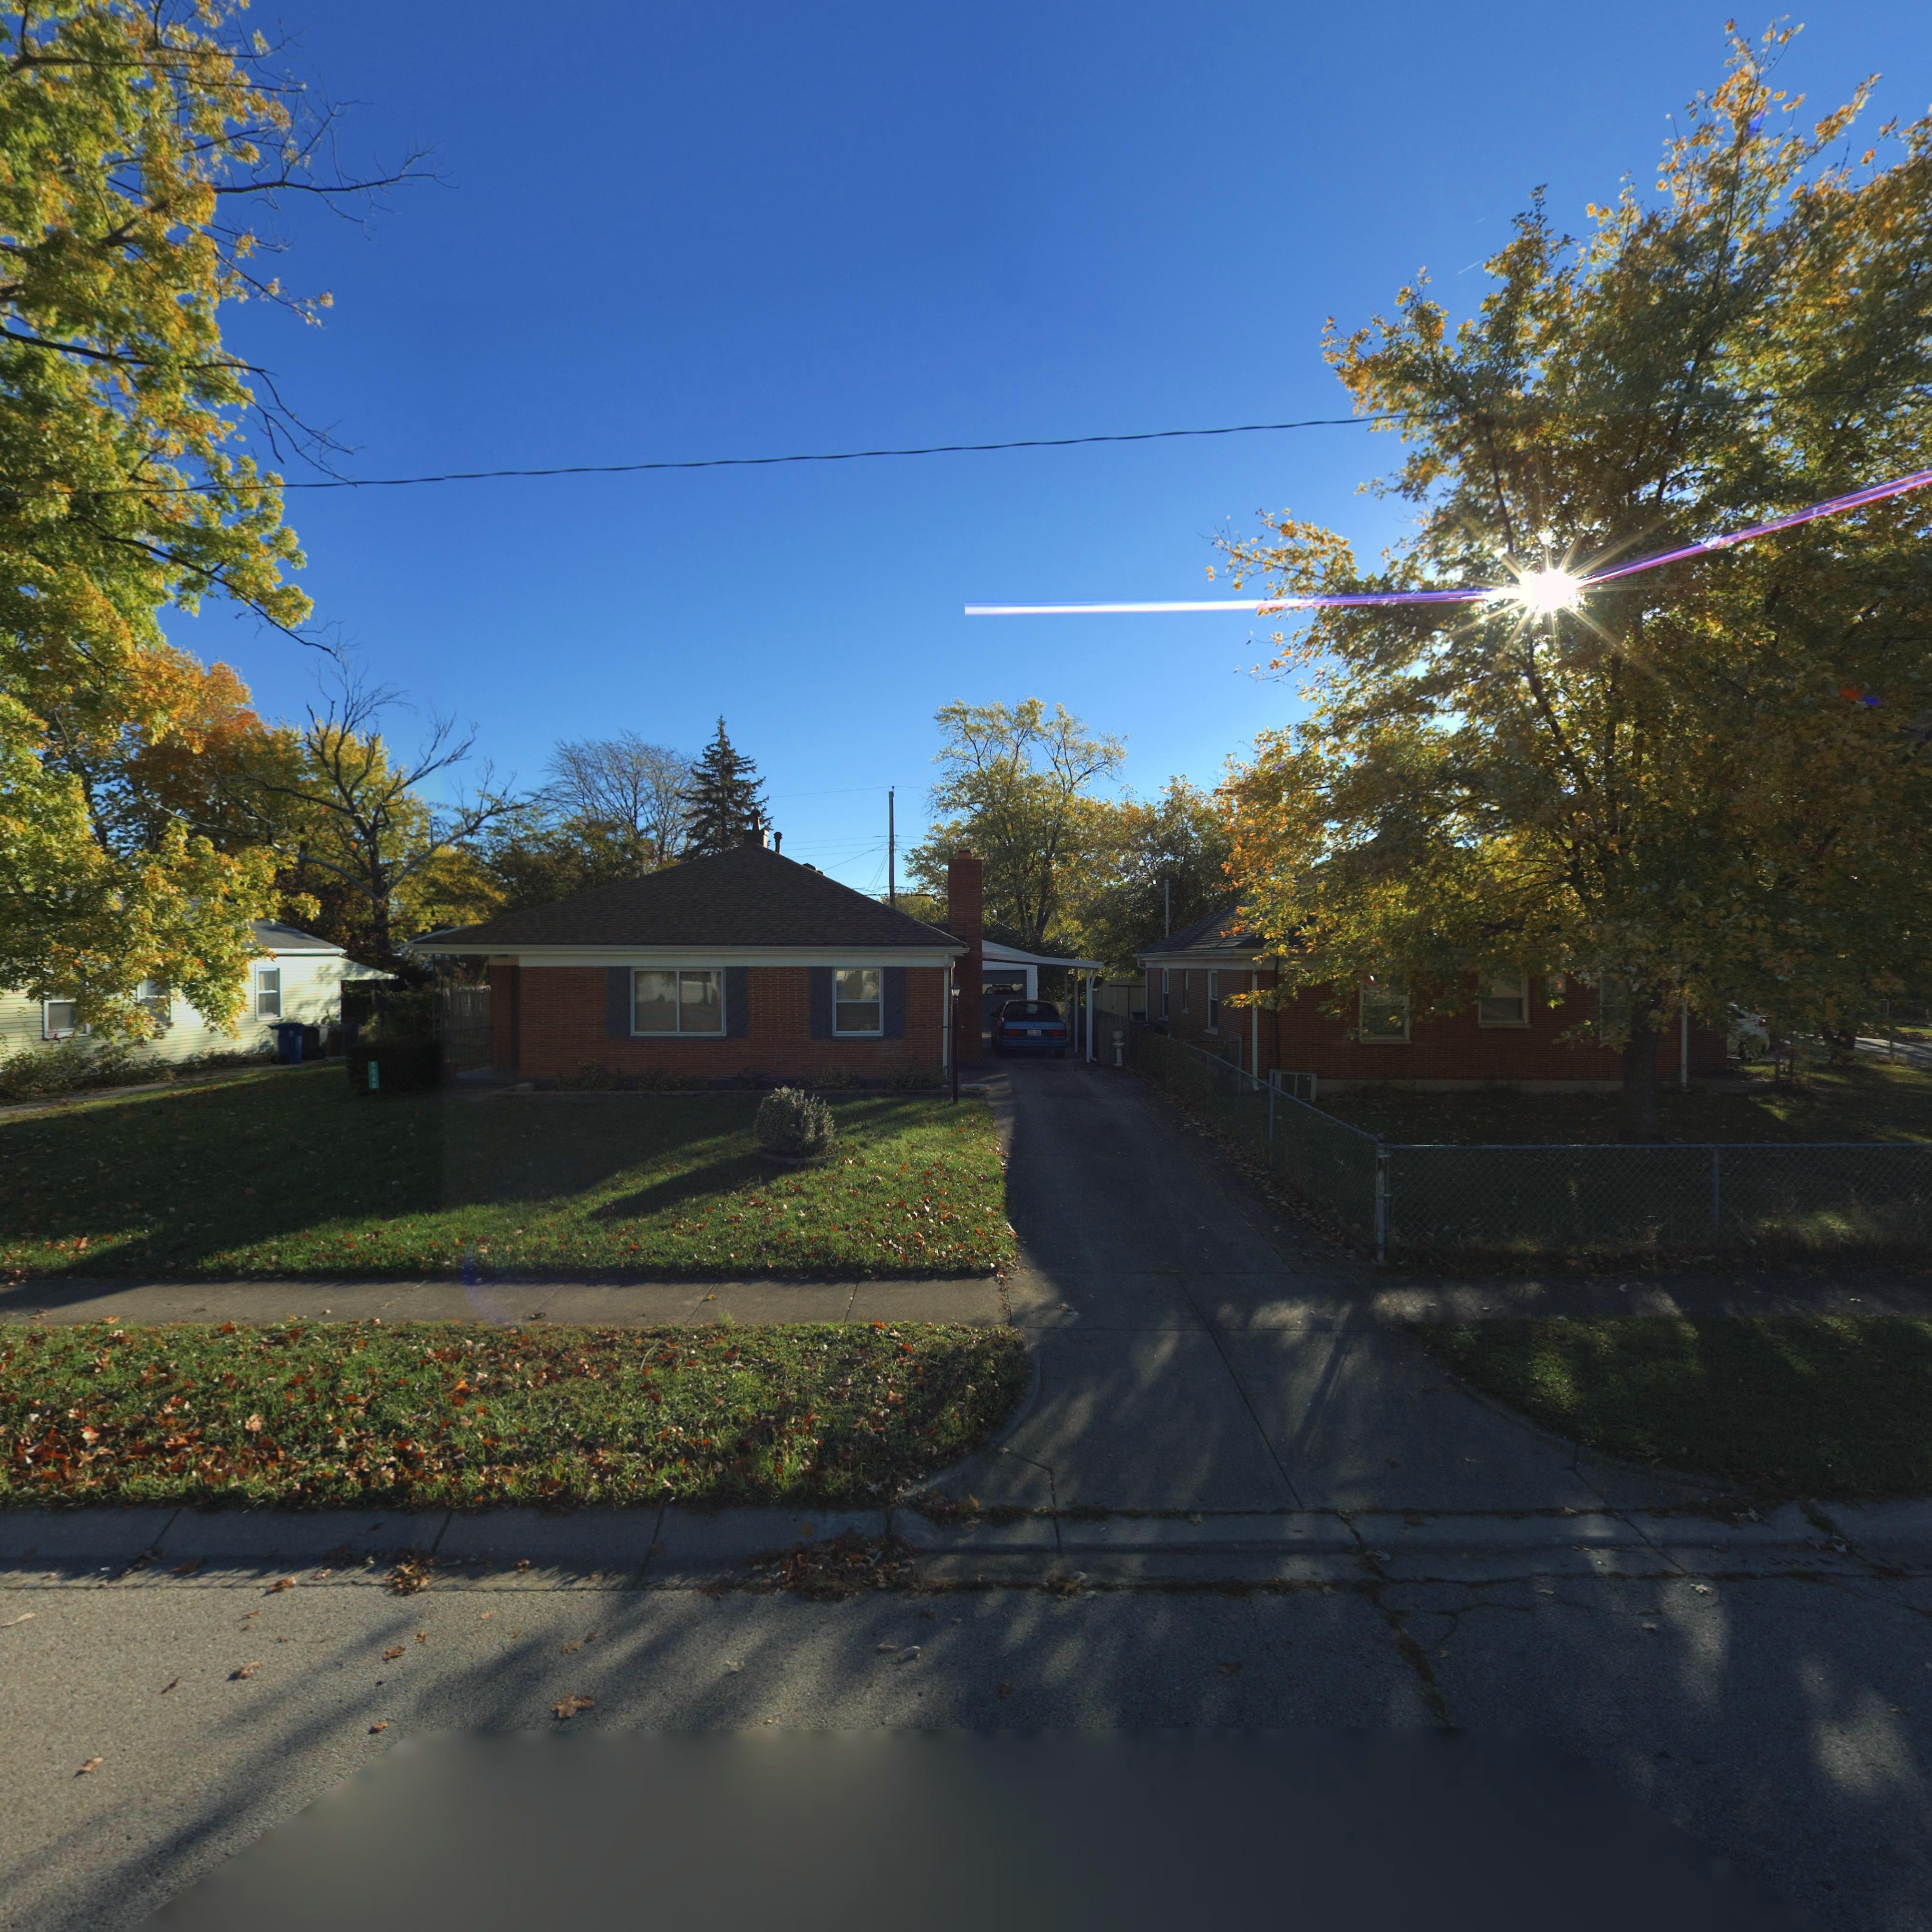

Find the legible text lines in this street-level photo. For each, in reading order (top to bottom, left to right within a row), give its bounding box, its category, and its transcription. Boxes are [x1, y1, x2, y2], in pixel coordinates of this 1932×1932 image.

[370, 1062, 377, 1089] StreetNumber: 5060